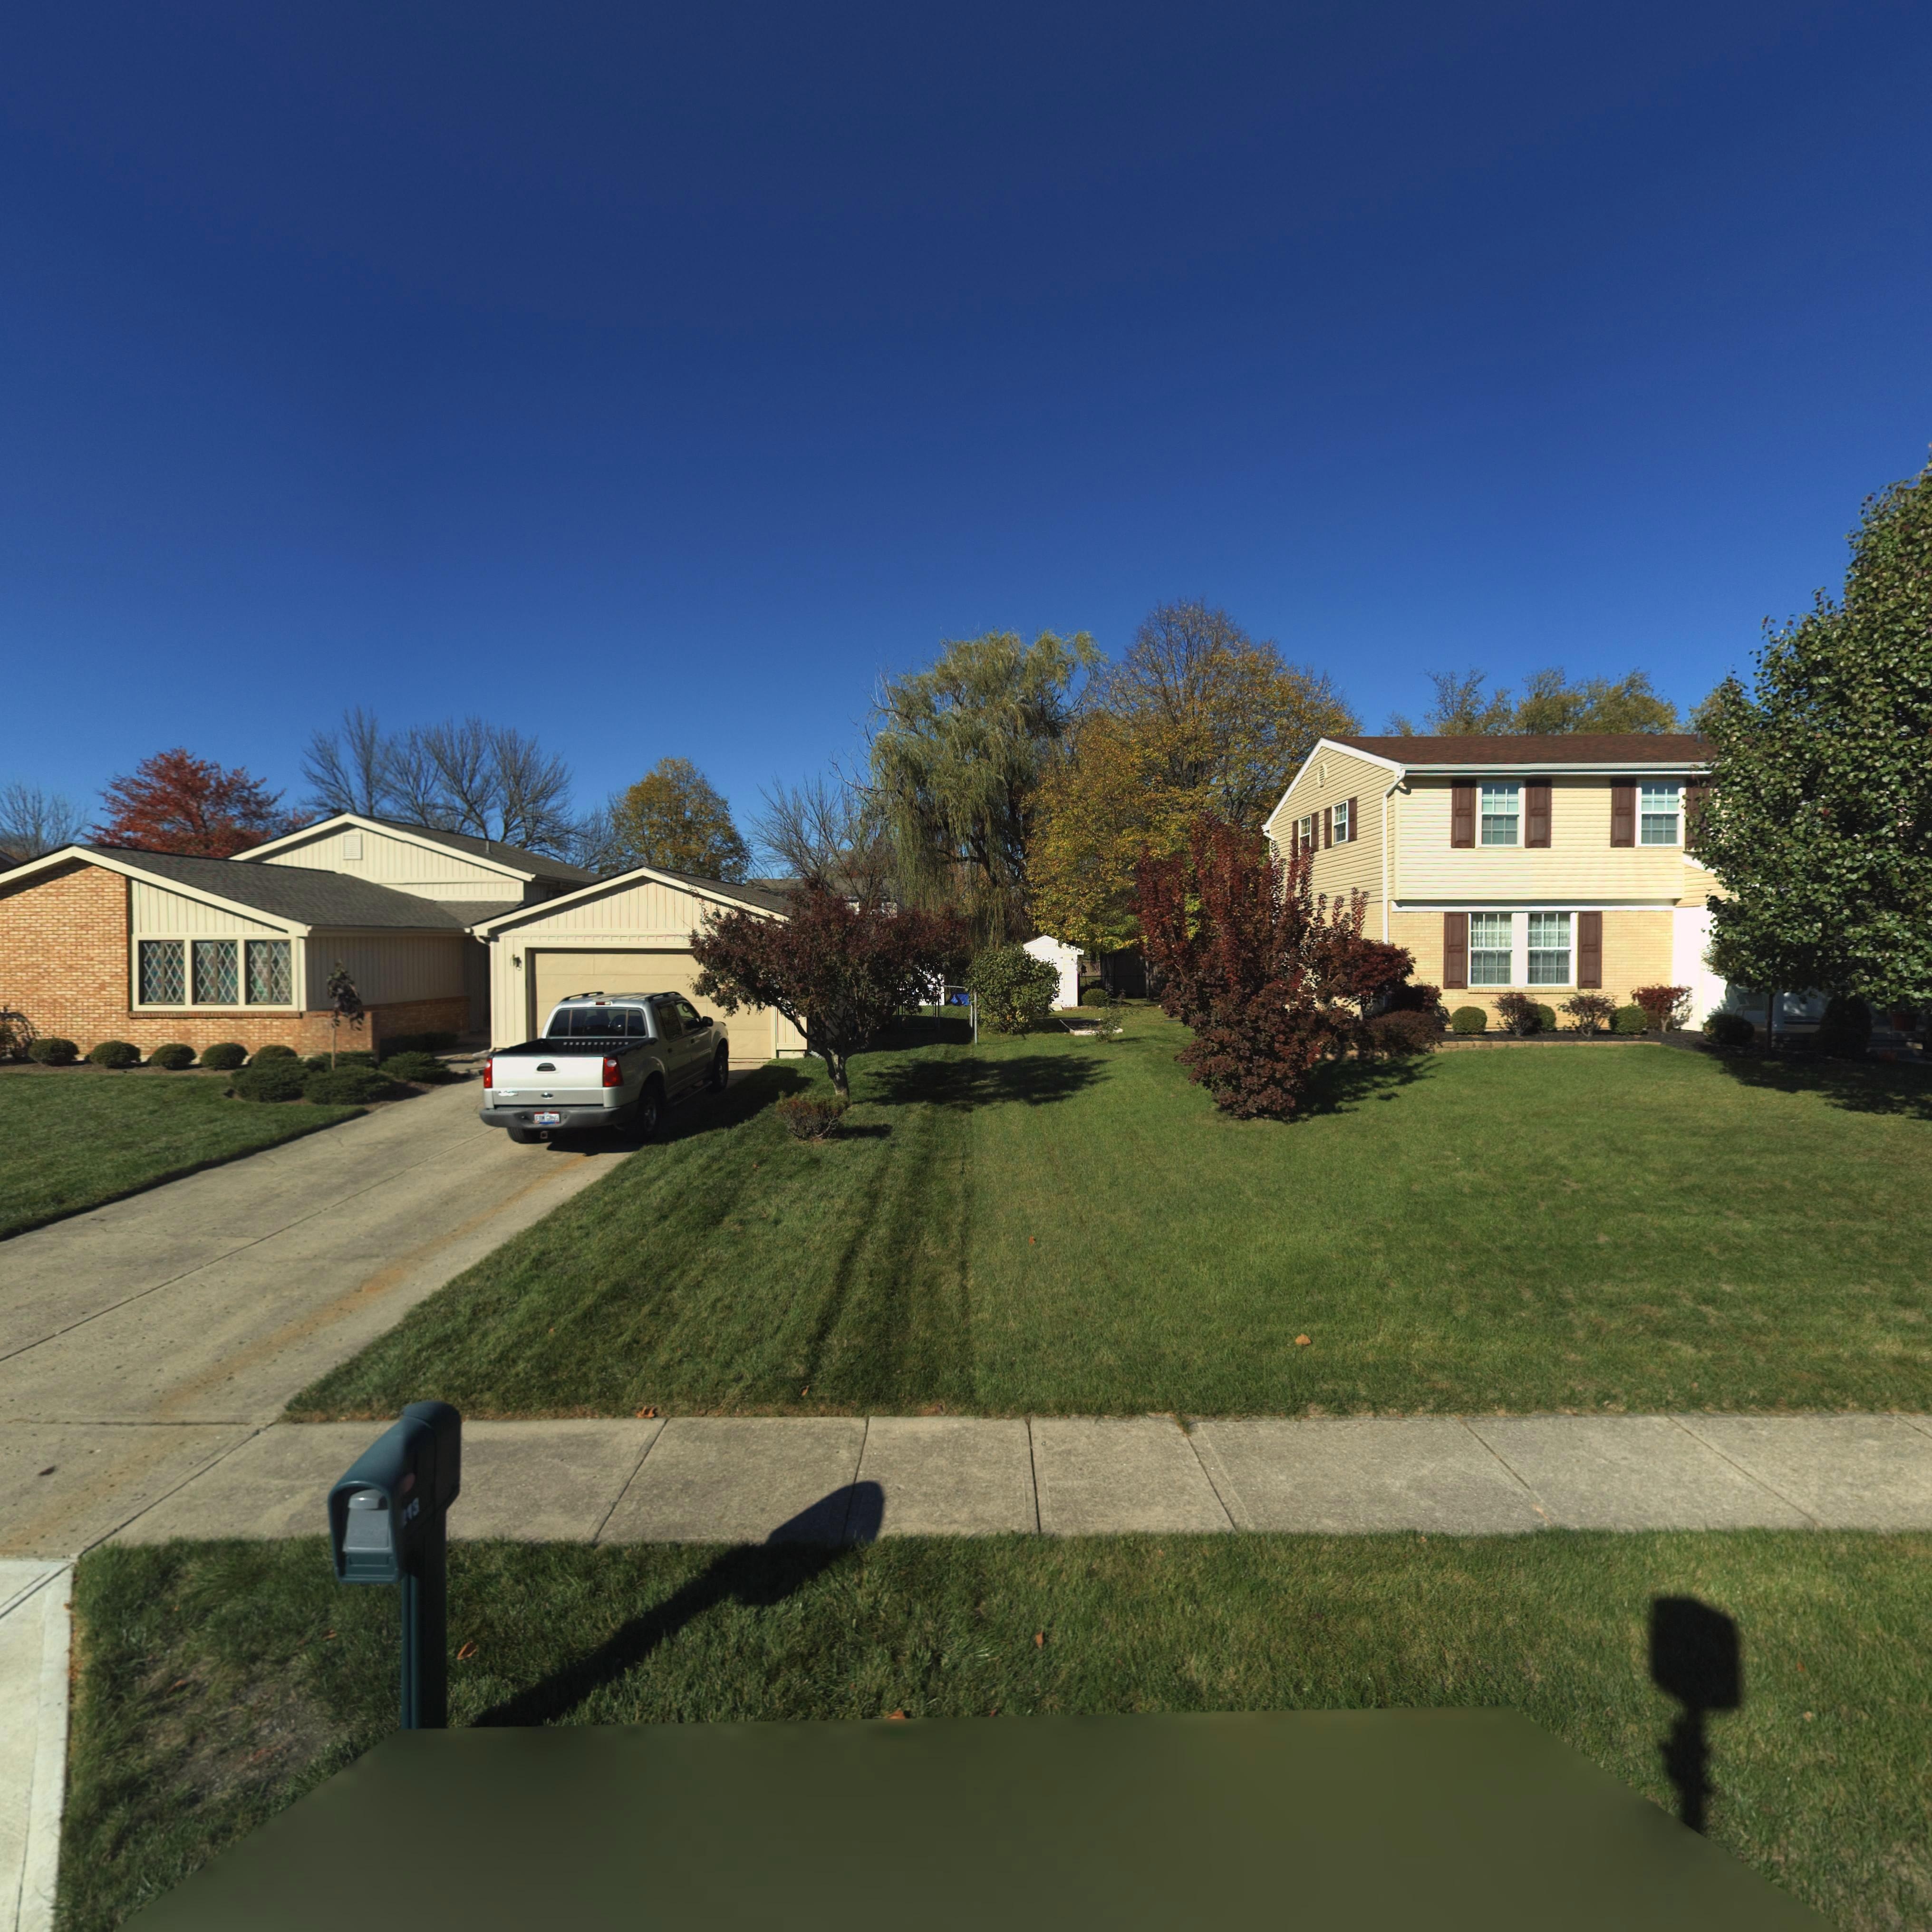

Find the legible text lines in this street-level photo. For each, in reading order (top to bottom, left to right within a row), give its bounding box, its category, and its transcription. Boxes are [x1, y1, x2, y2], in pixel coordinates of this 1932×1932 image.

[405, 1495, 422, 1522] StreetNumber: 13